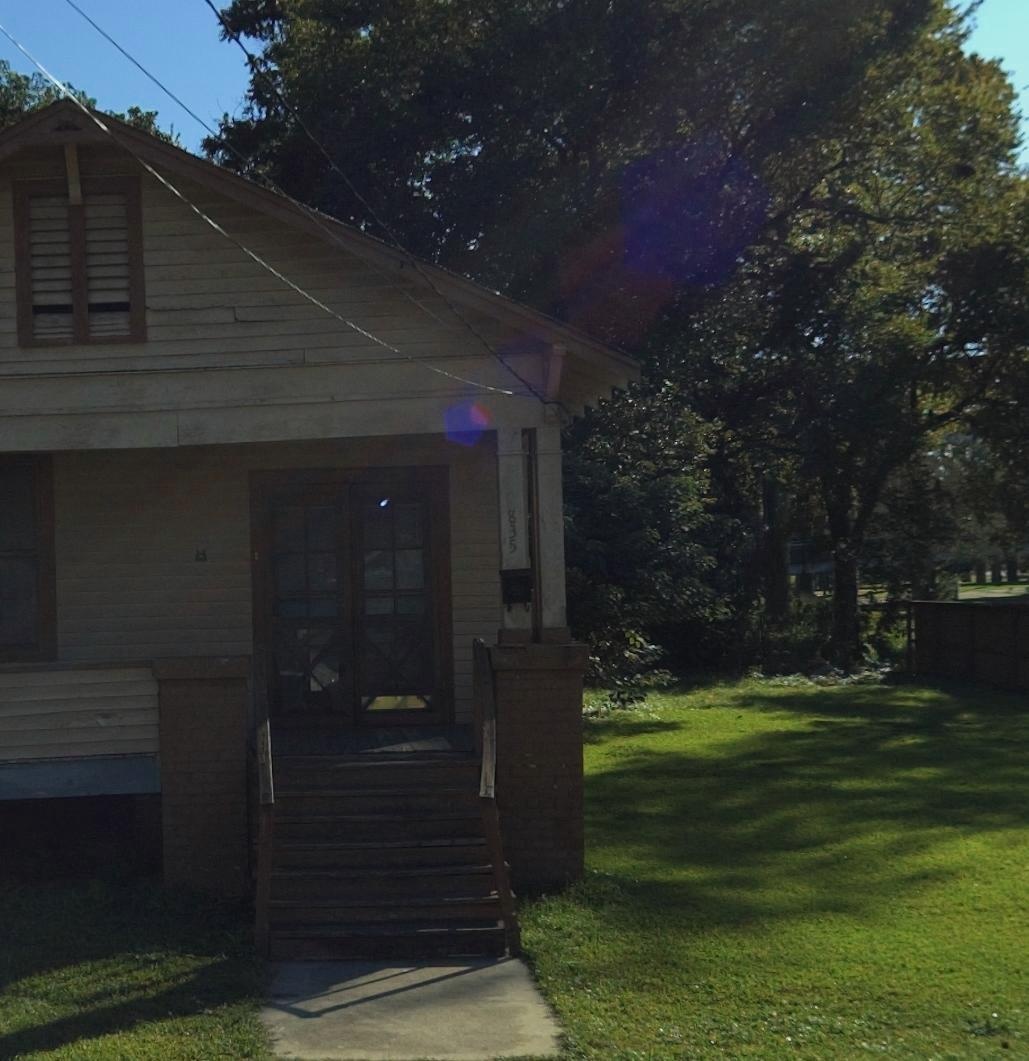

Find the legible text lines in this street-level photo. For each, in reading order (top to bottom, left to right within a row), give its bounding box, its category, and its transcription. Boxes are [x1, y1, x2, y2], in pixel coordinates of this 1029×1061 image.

[506, 508, 519, 556] StreetNumber: 835